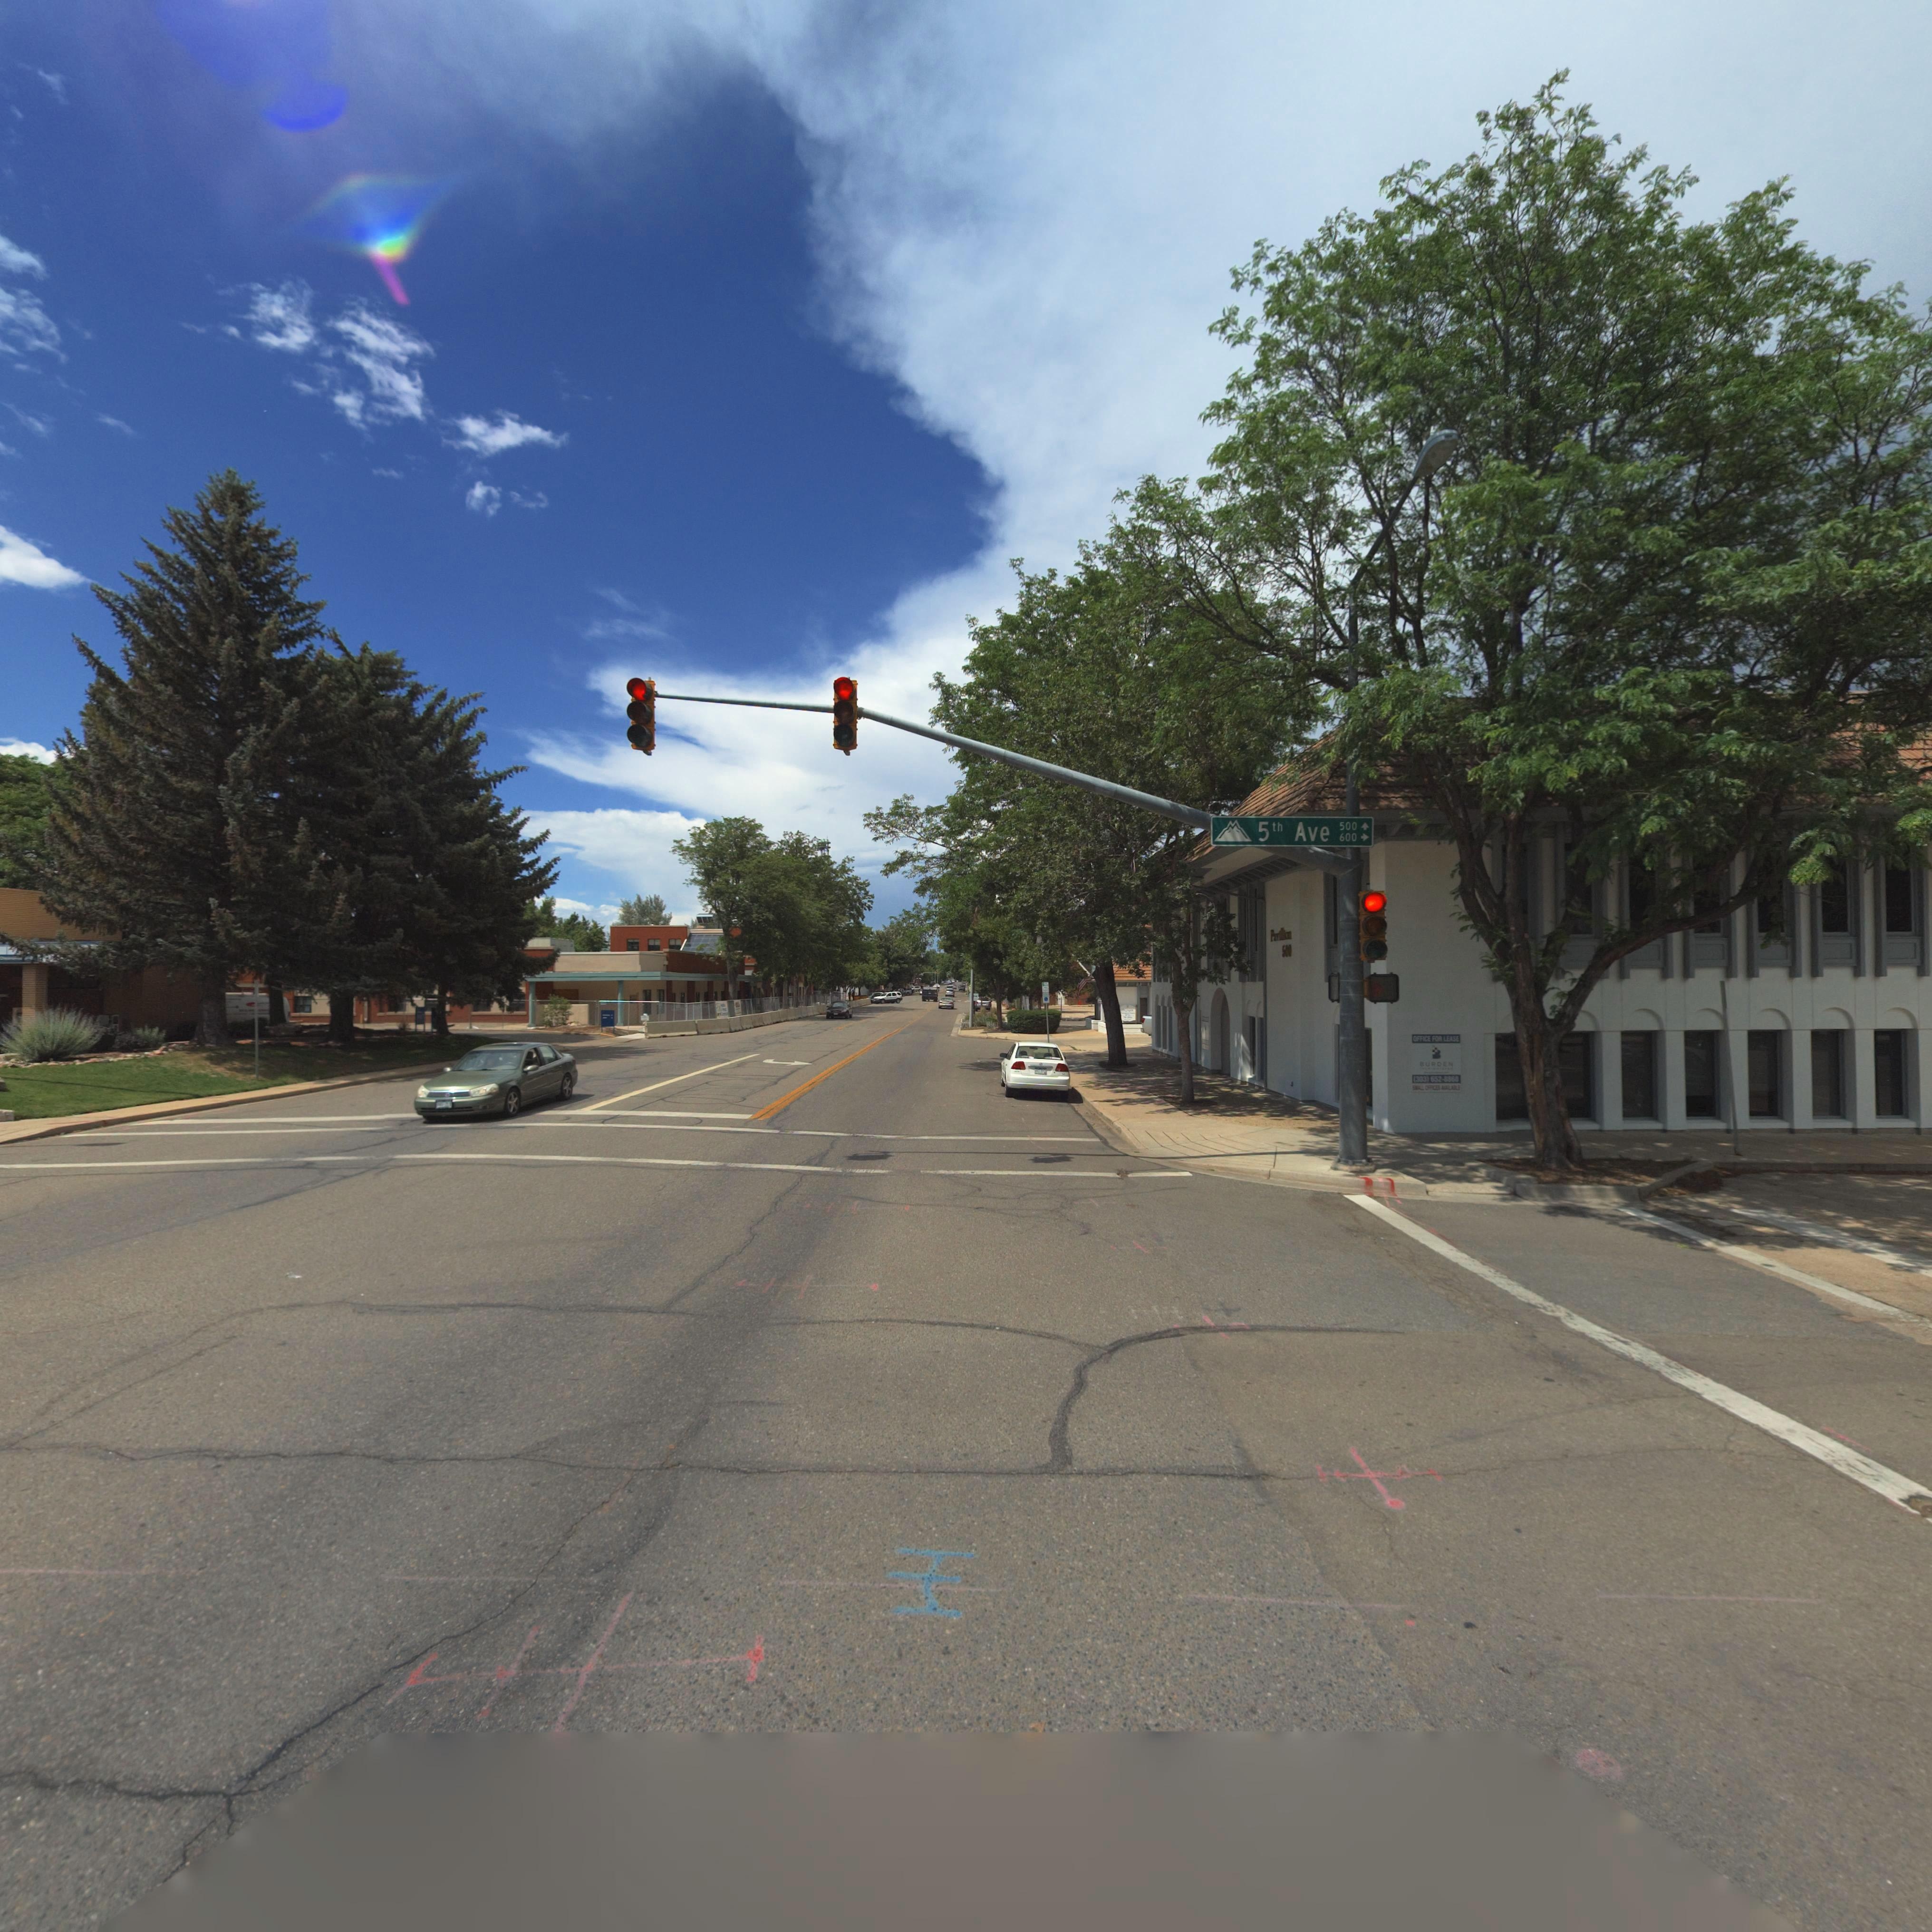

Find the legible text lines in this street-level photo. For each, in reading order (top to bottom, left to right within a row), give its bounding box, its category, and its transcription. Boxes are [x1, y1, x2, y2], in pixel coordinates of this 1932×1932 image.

[1257, 821, 1330, 842] StreetName: 5th Ave
[1339, 821, 1357, 831] StreetNumberRange: 500
[1339, 832, 1369, 841] StreetNumberRange: 600->
[1281, 944, 1293, 957] StreetNumber: 500